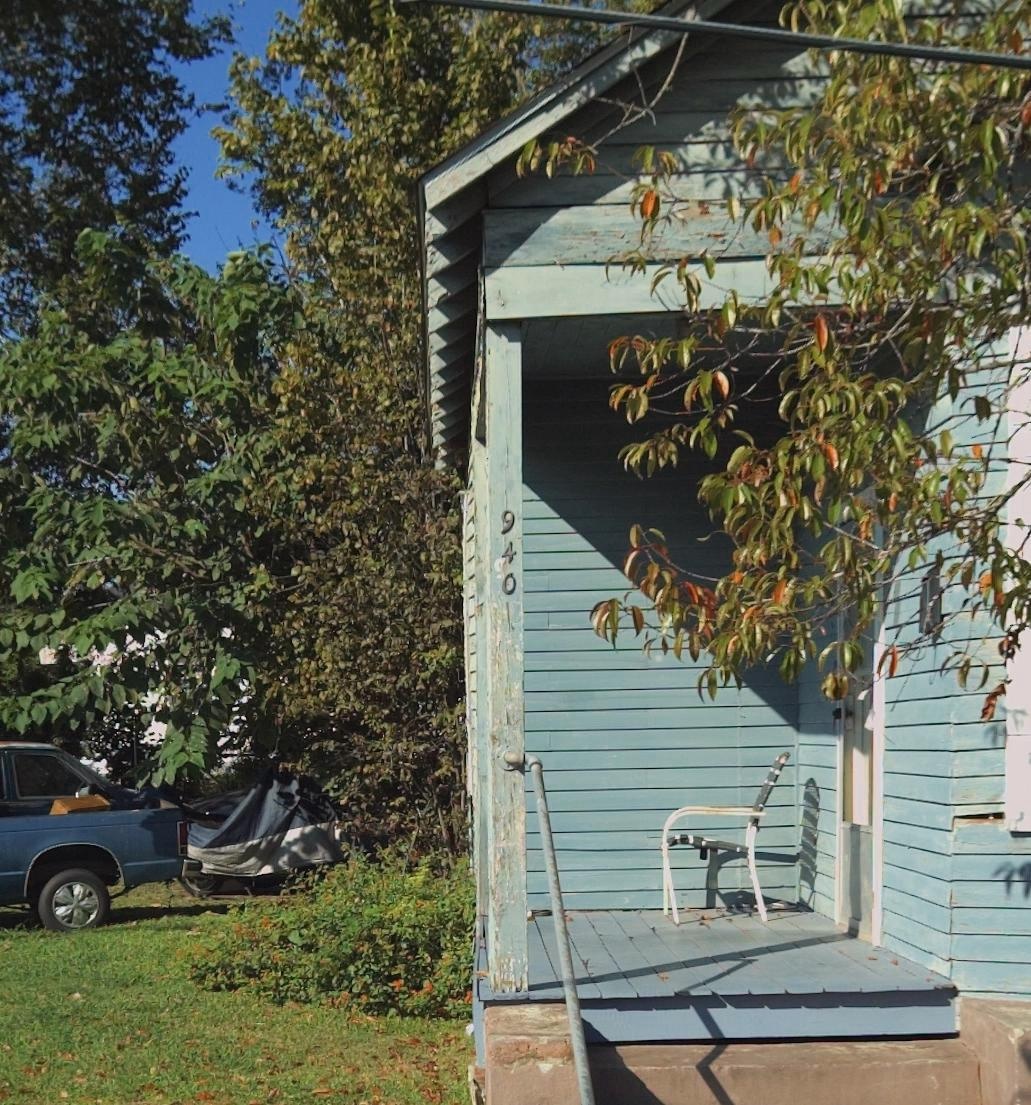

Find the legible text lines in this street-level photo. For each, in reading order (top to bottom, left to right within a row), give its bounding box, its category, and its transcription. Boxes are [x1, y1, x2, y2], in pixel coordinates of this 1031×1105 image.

[500, 506, 521, 601] StreetNumber: 940